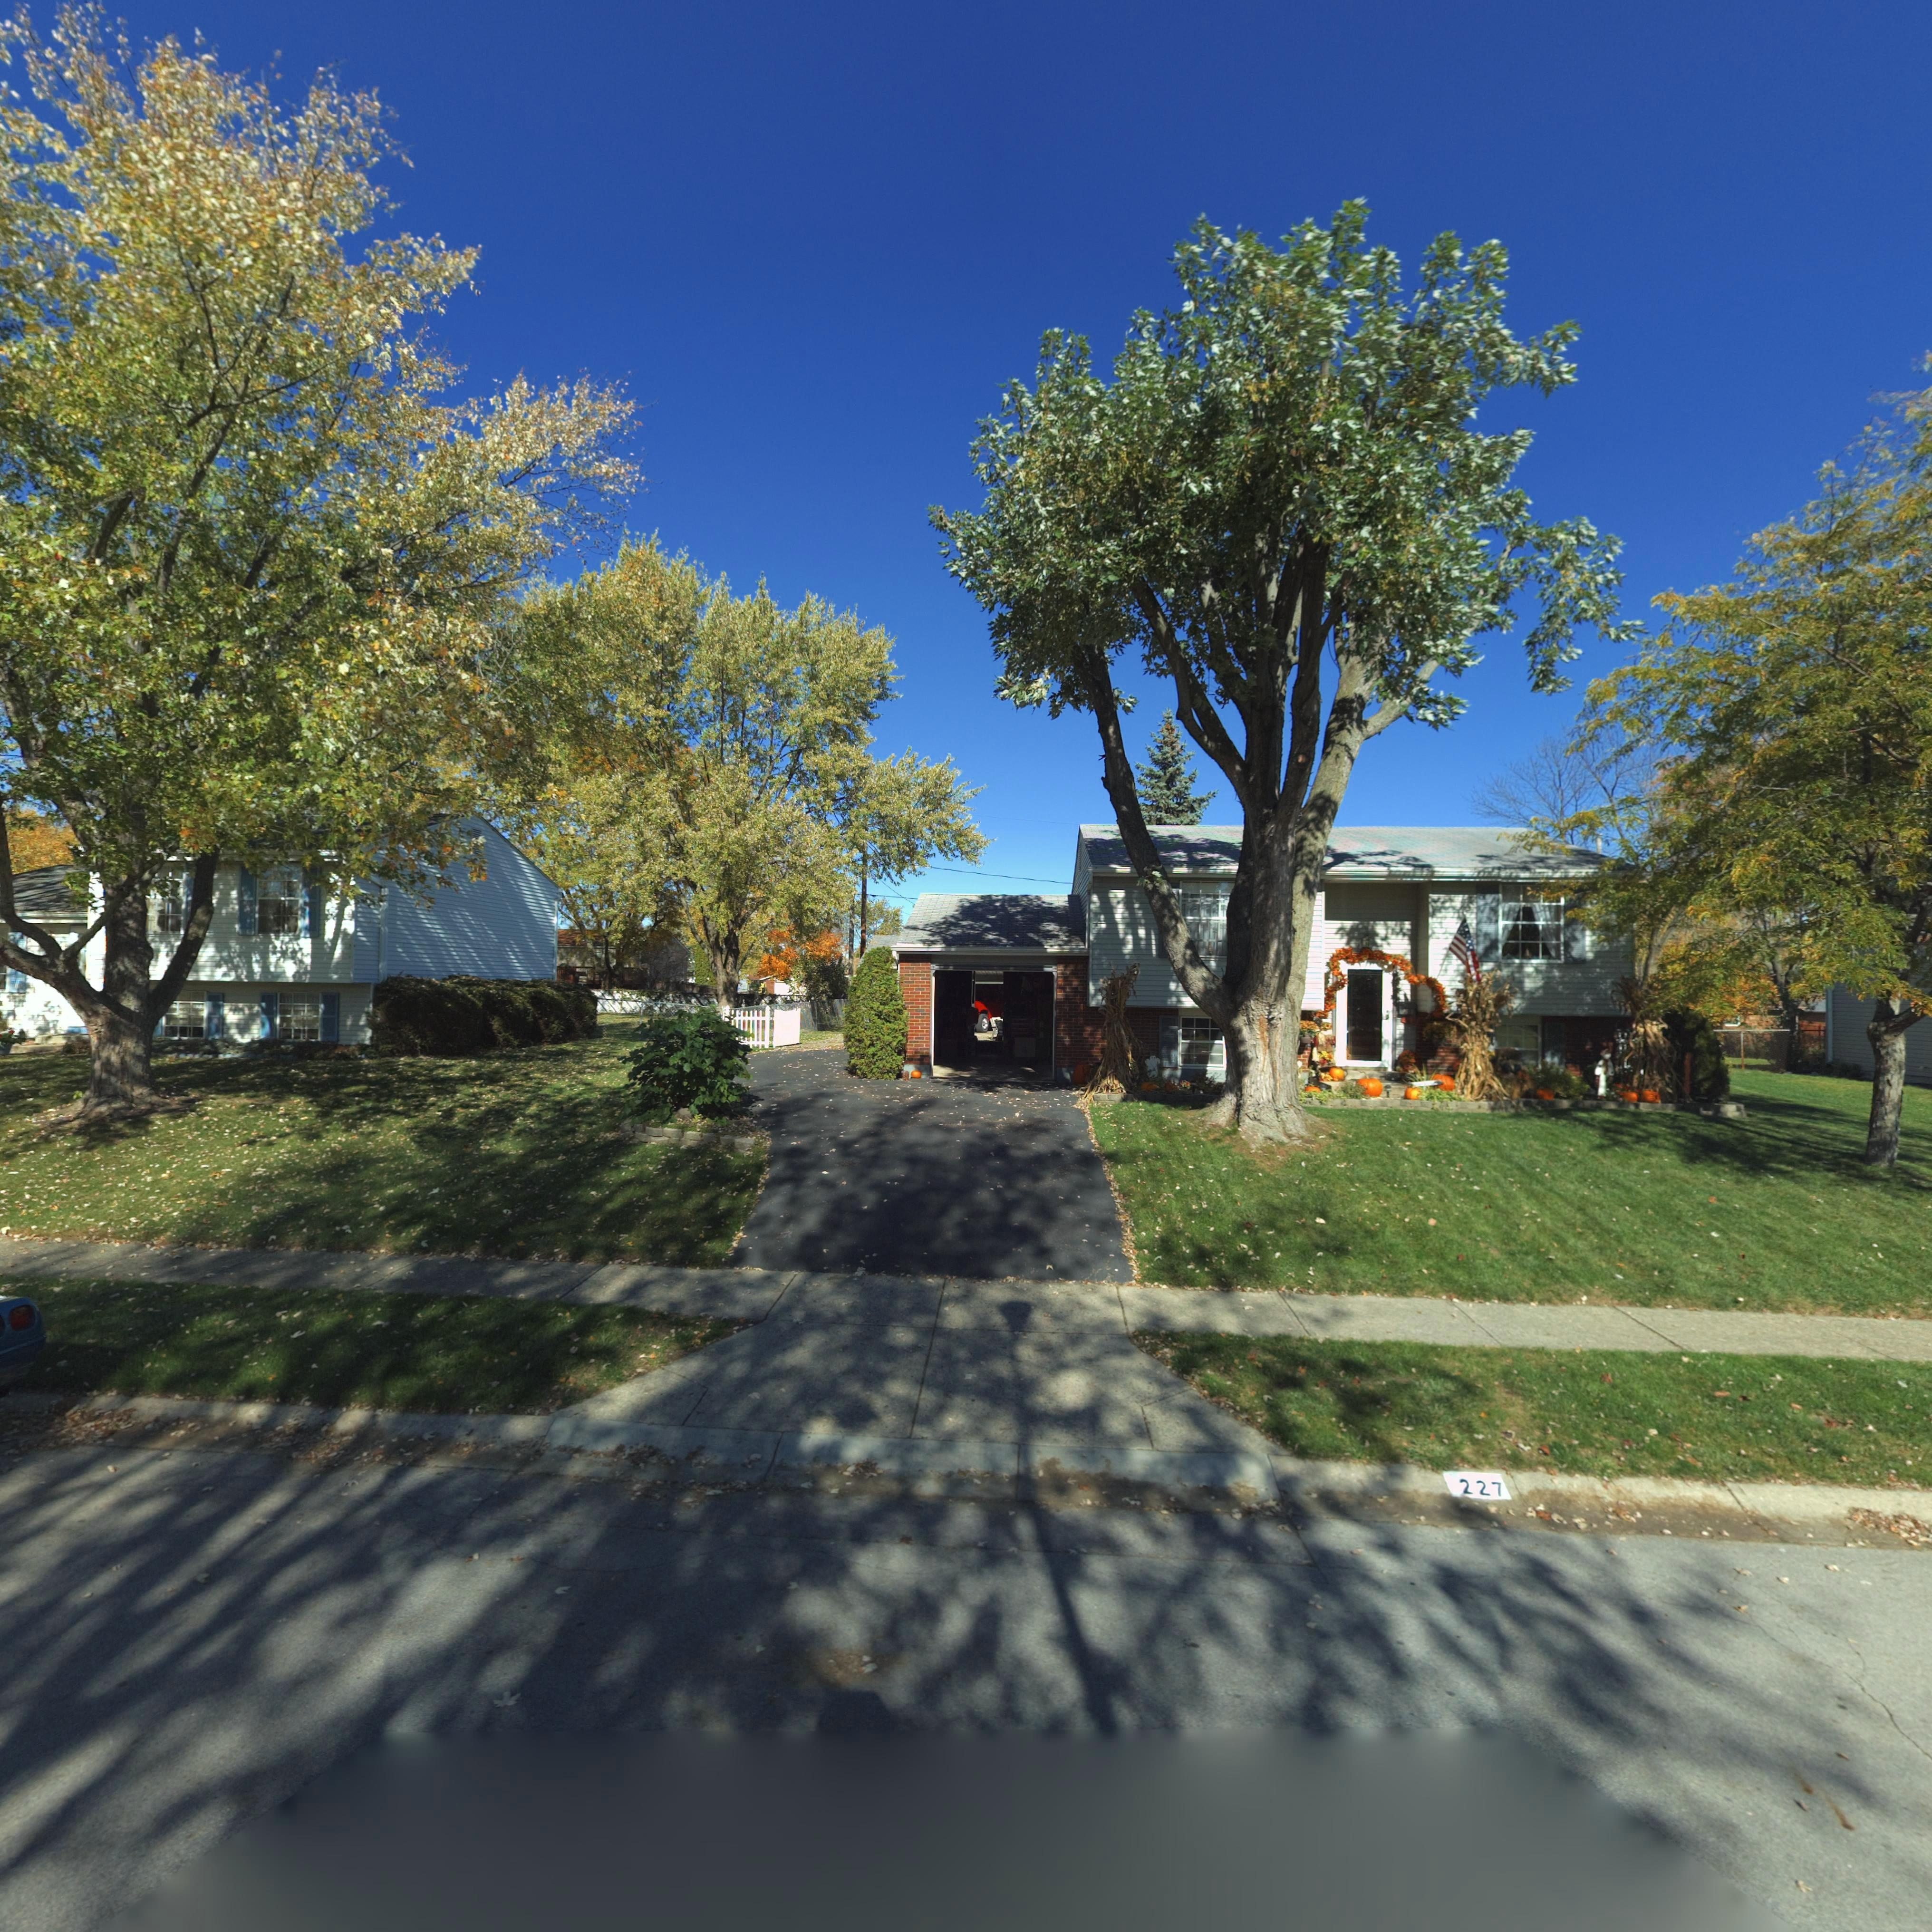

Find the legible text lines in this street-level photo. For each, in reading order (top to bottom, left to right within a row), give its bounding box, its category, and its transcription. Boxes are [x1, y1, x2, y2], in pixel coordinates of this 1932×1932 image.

[1458, 1478, 1502, 1497] StreetNumber: 227